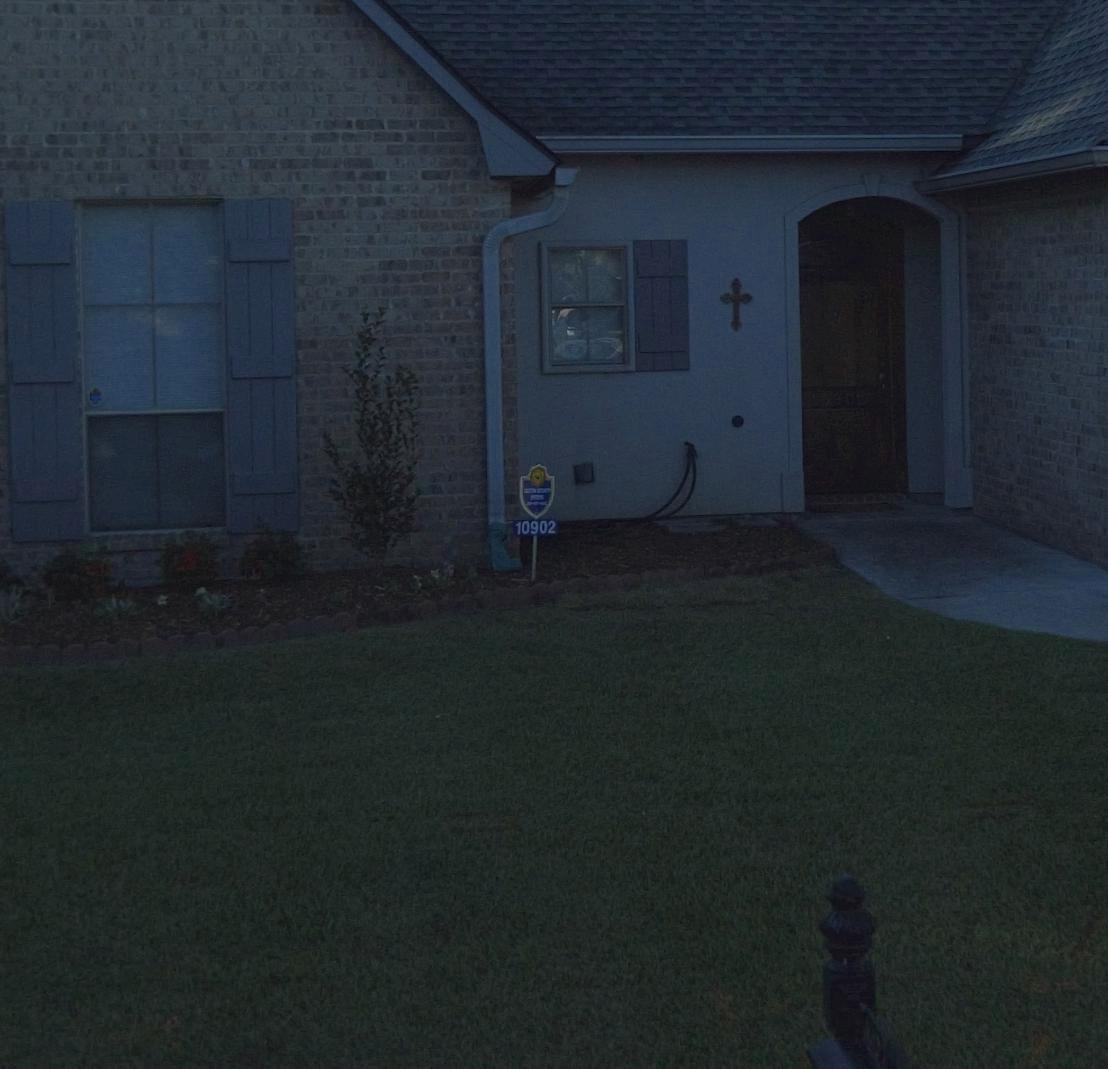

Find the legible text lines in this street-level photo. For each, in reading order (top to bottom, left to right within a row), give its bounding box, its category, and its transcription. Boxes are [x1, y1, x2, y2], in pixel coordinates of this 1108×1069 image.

[514, 519, 558, 536] StreetNumber: 10902